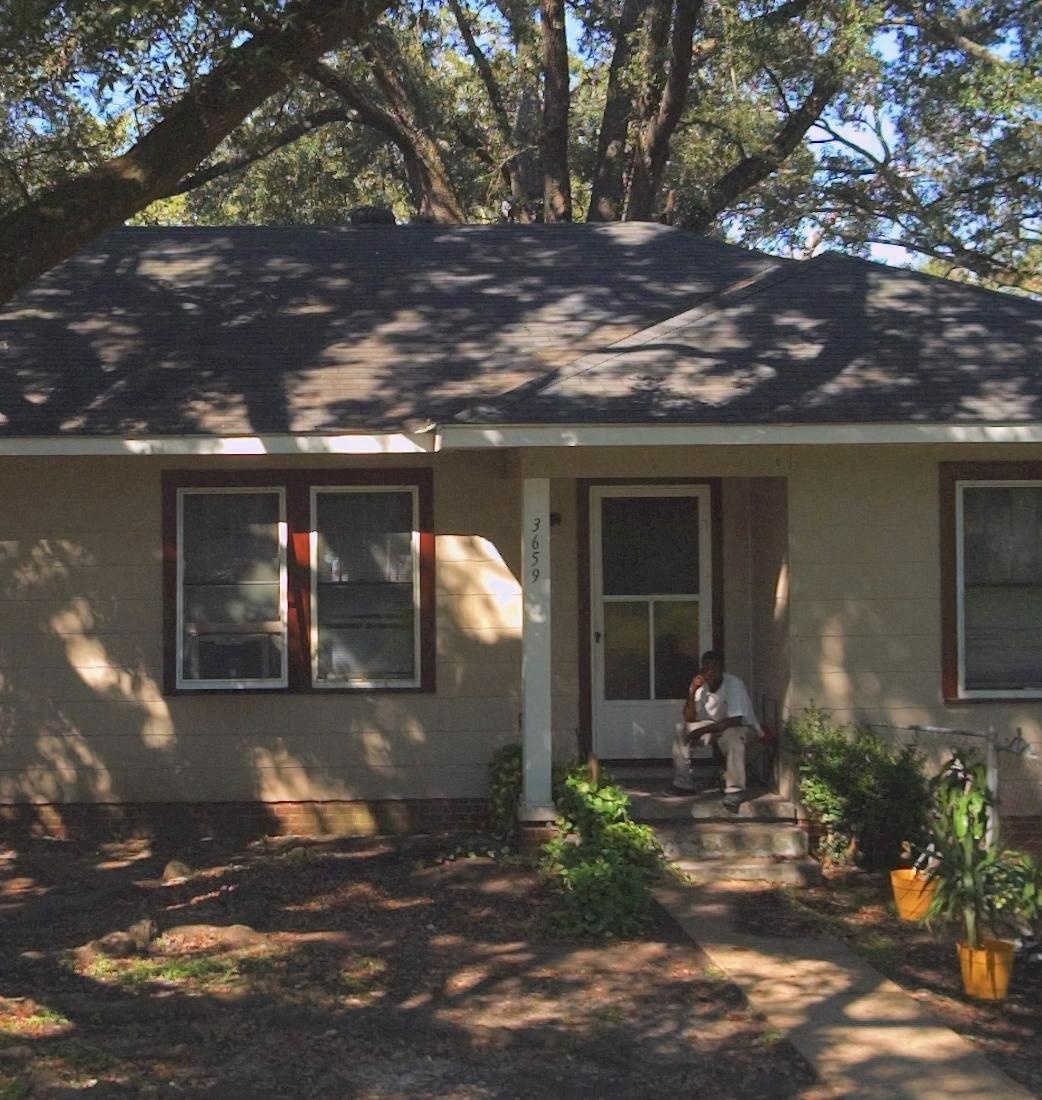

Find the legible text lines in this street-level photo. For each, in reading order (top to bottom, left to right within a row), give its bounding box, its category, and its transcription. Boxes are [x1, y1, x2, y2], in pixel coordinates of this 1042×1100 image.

[529, 516, 542, 585] StreetNumber: 3659